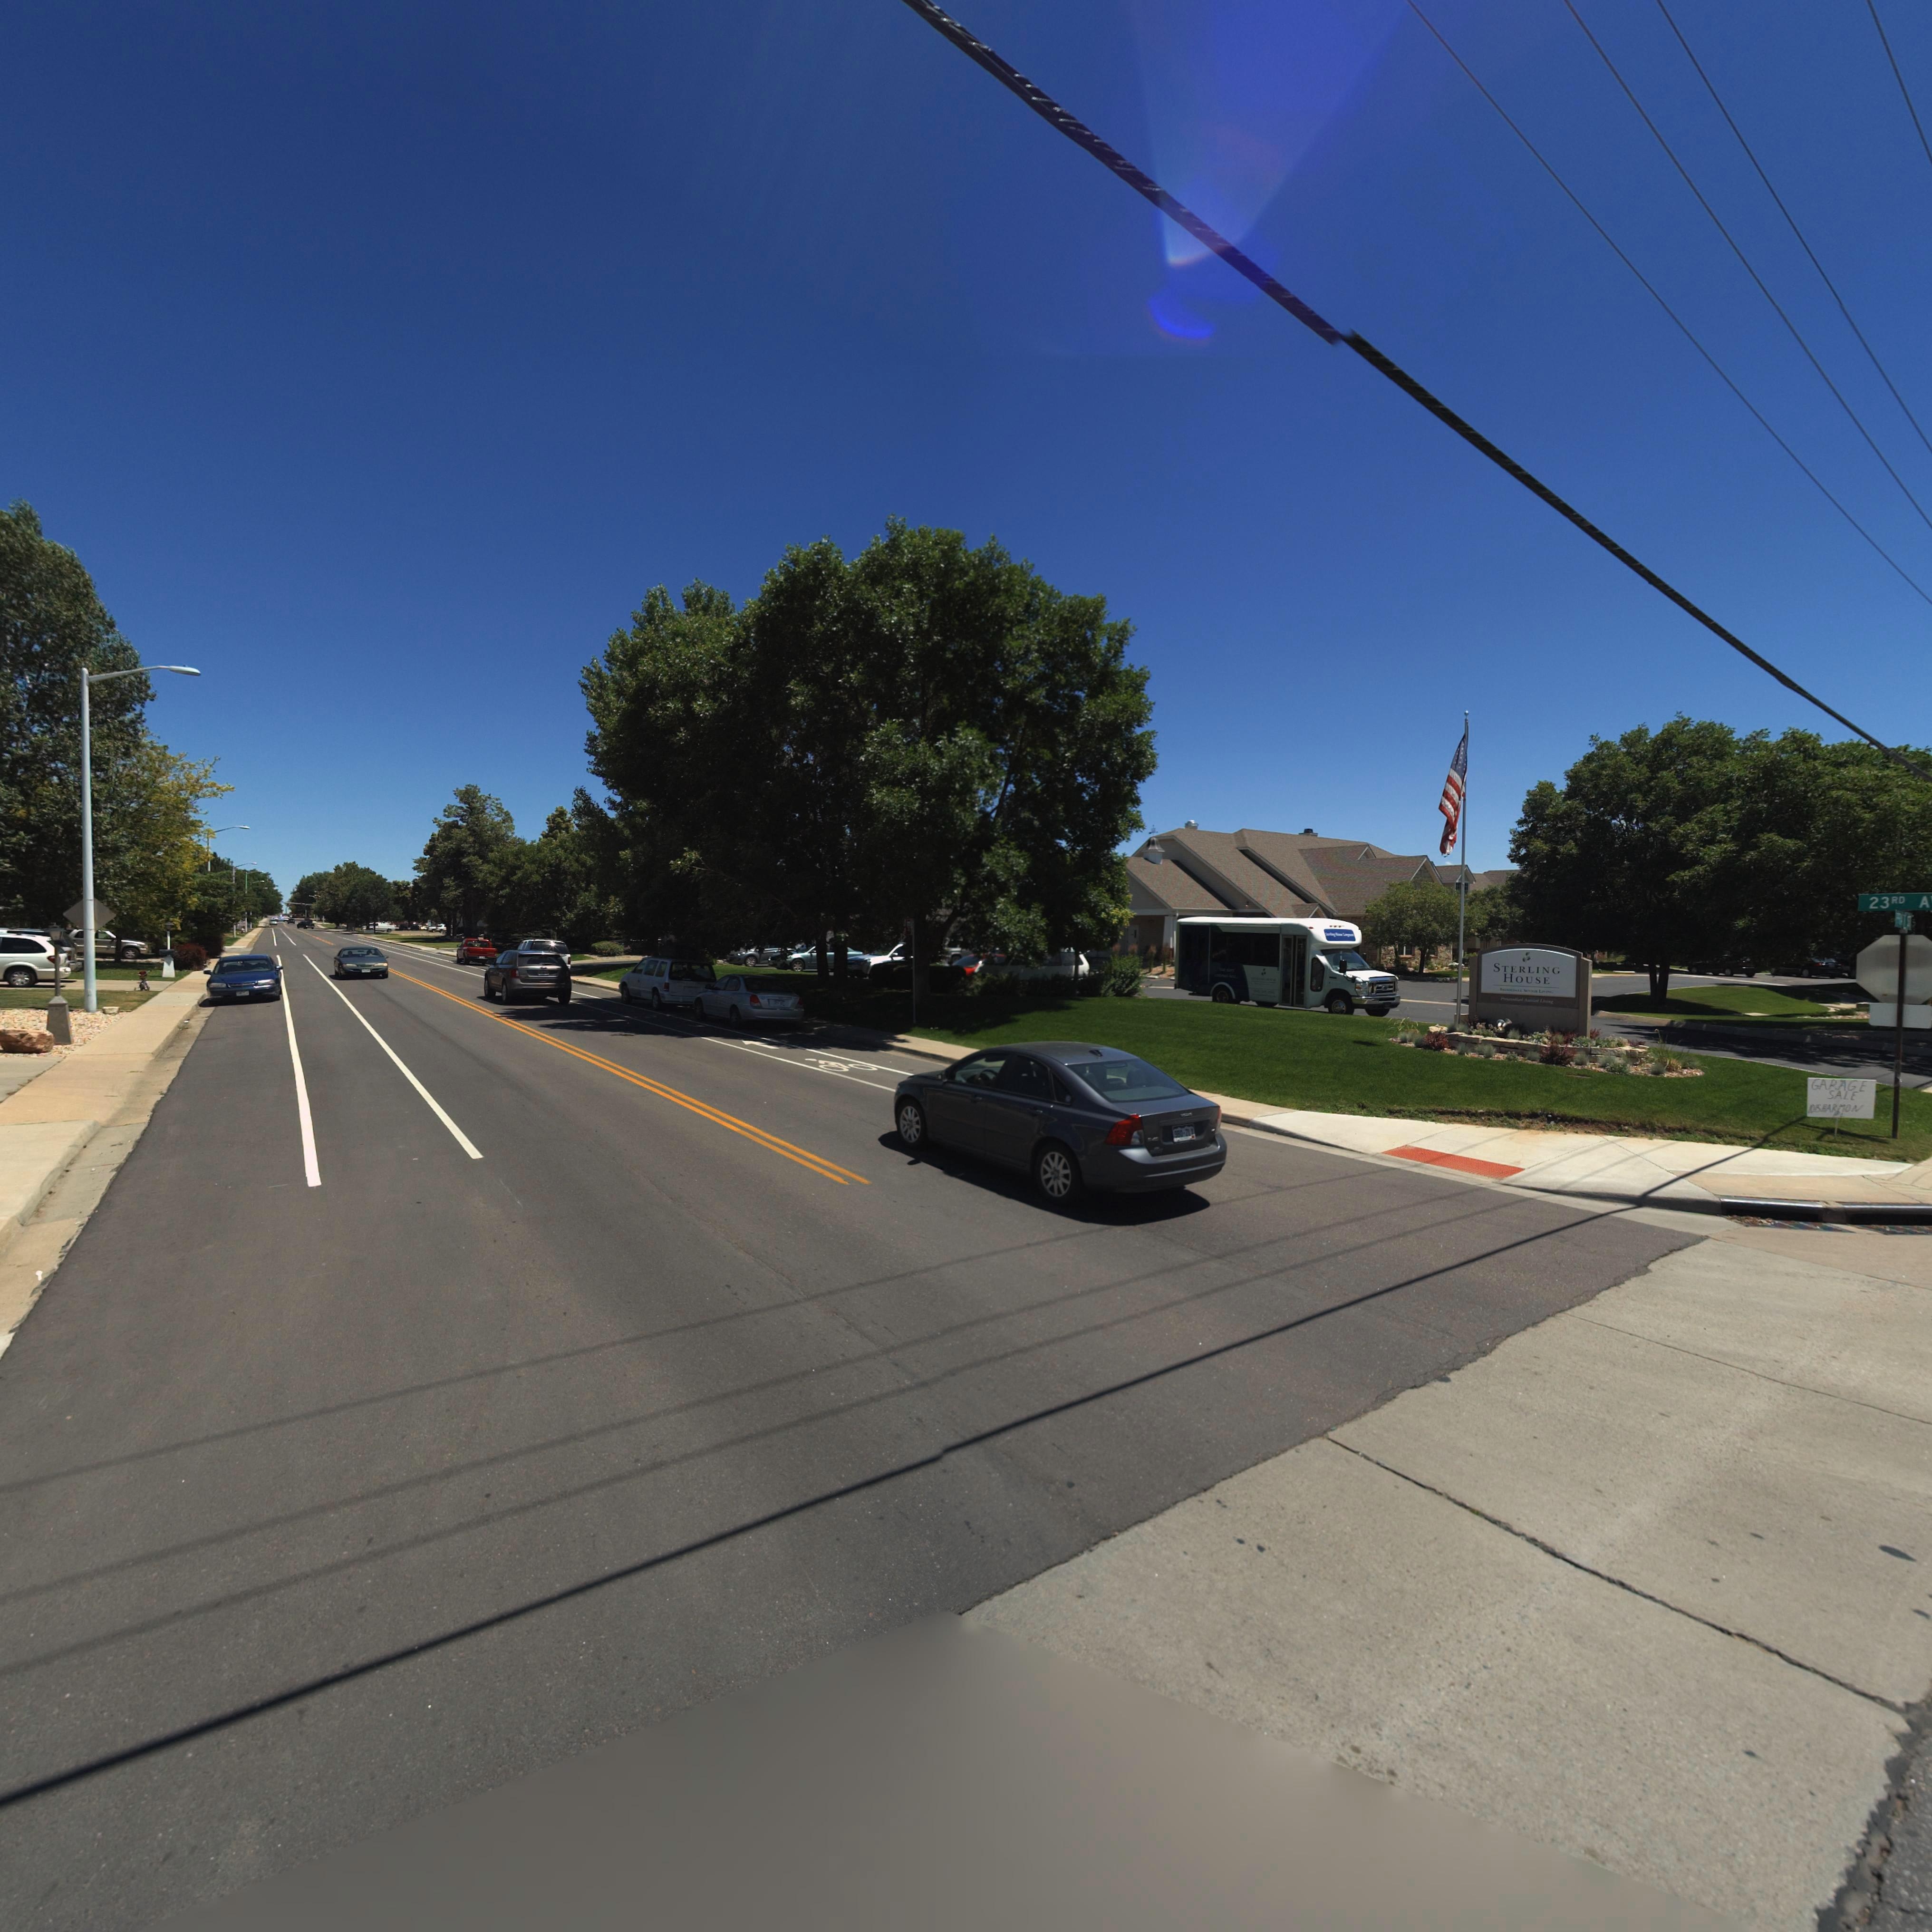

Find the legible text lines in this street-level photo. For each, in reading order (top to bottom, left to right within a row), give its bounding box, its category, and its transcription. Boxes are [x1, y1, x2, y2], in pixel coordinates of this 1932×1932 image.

[1868, 895, 1930, 909] StreetName: 23RD A
[1895, 912, 1911, 927] StreetName: ****T S*
[1492, 962, 1560, 975] BusinessName: STERLING
[1503, 973, 1550, 985] BusinessName: HOUSE